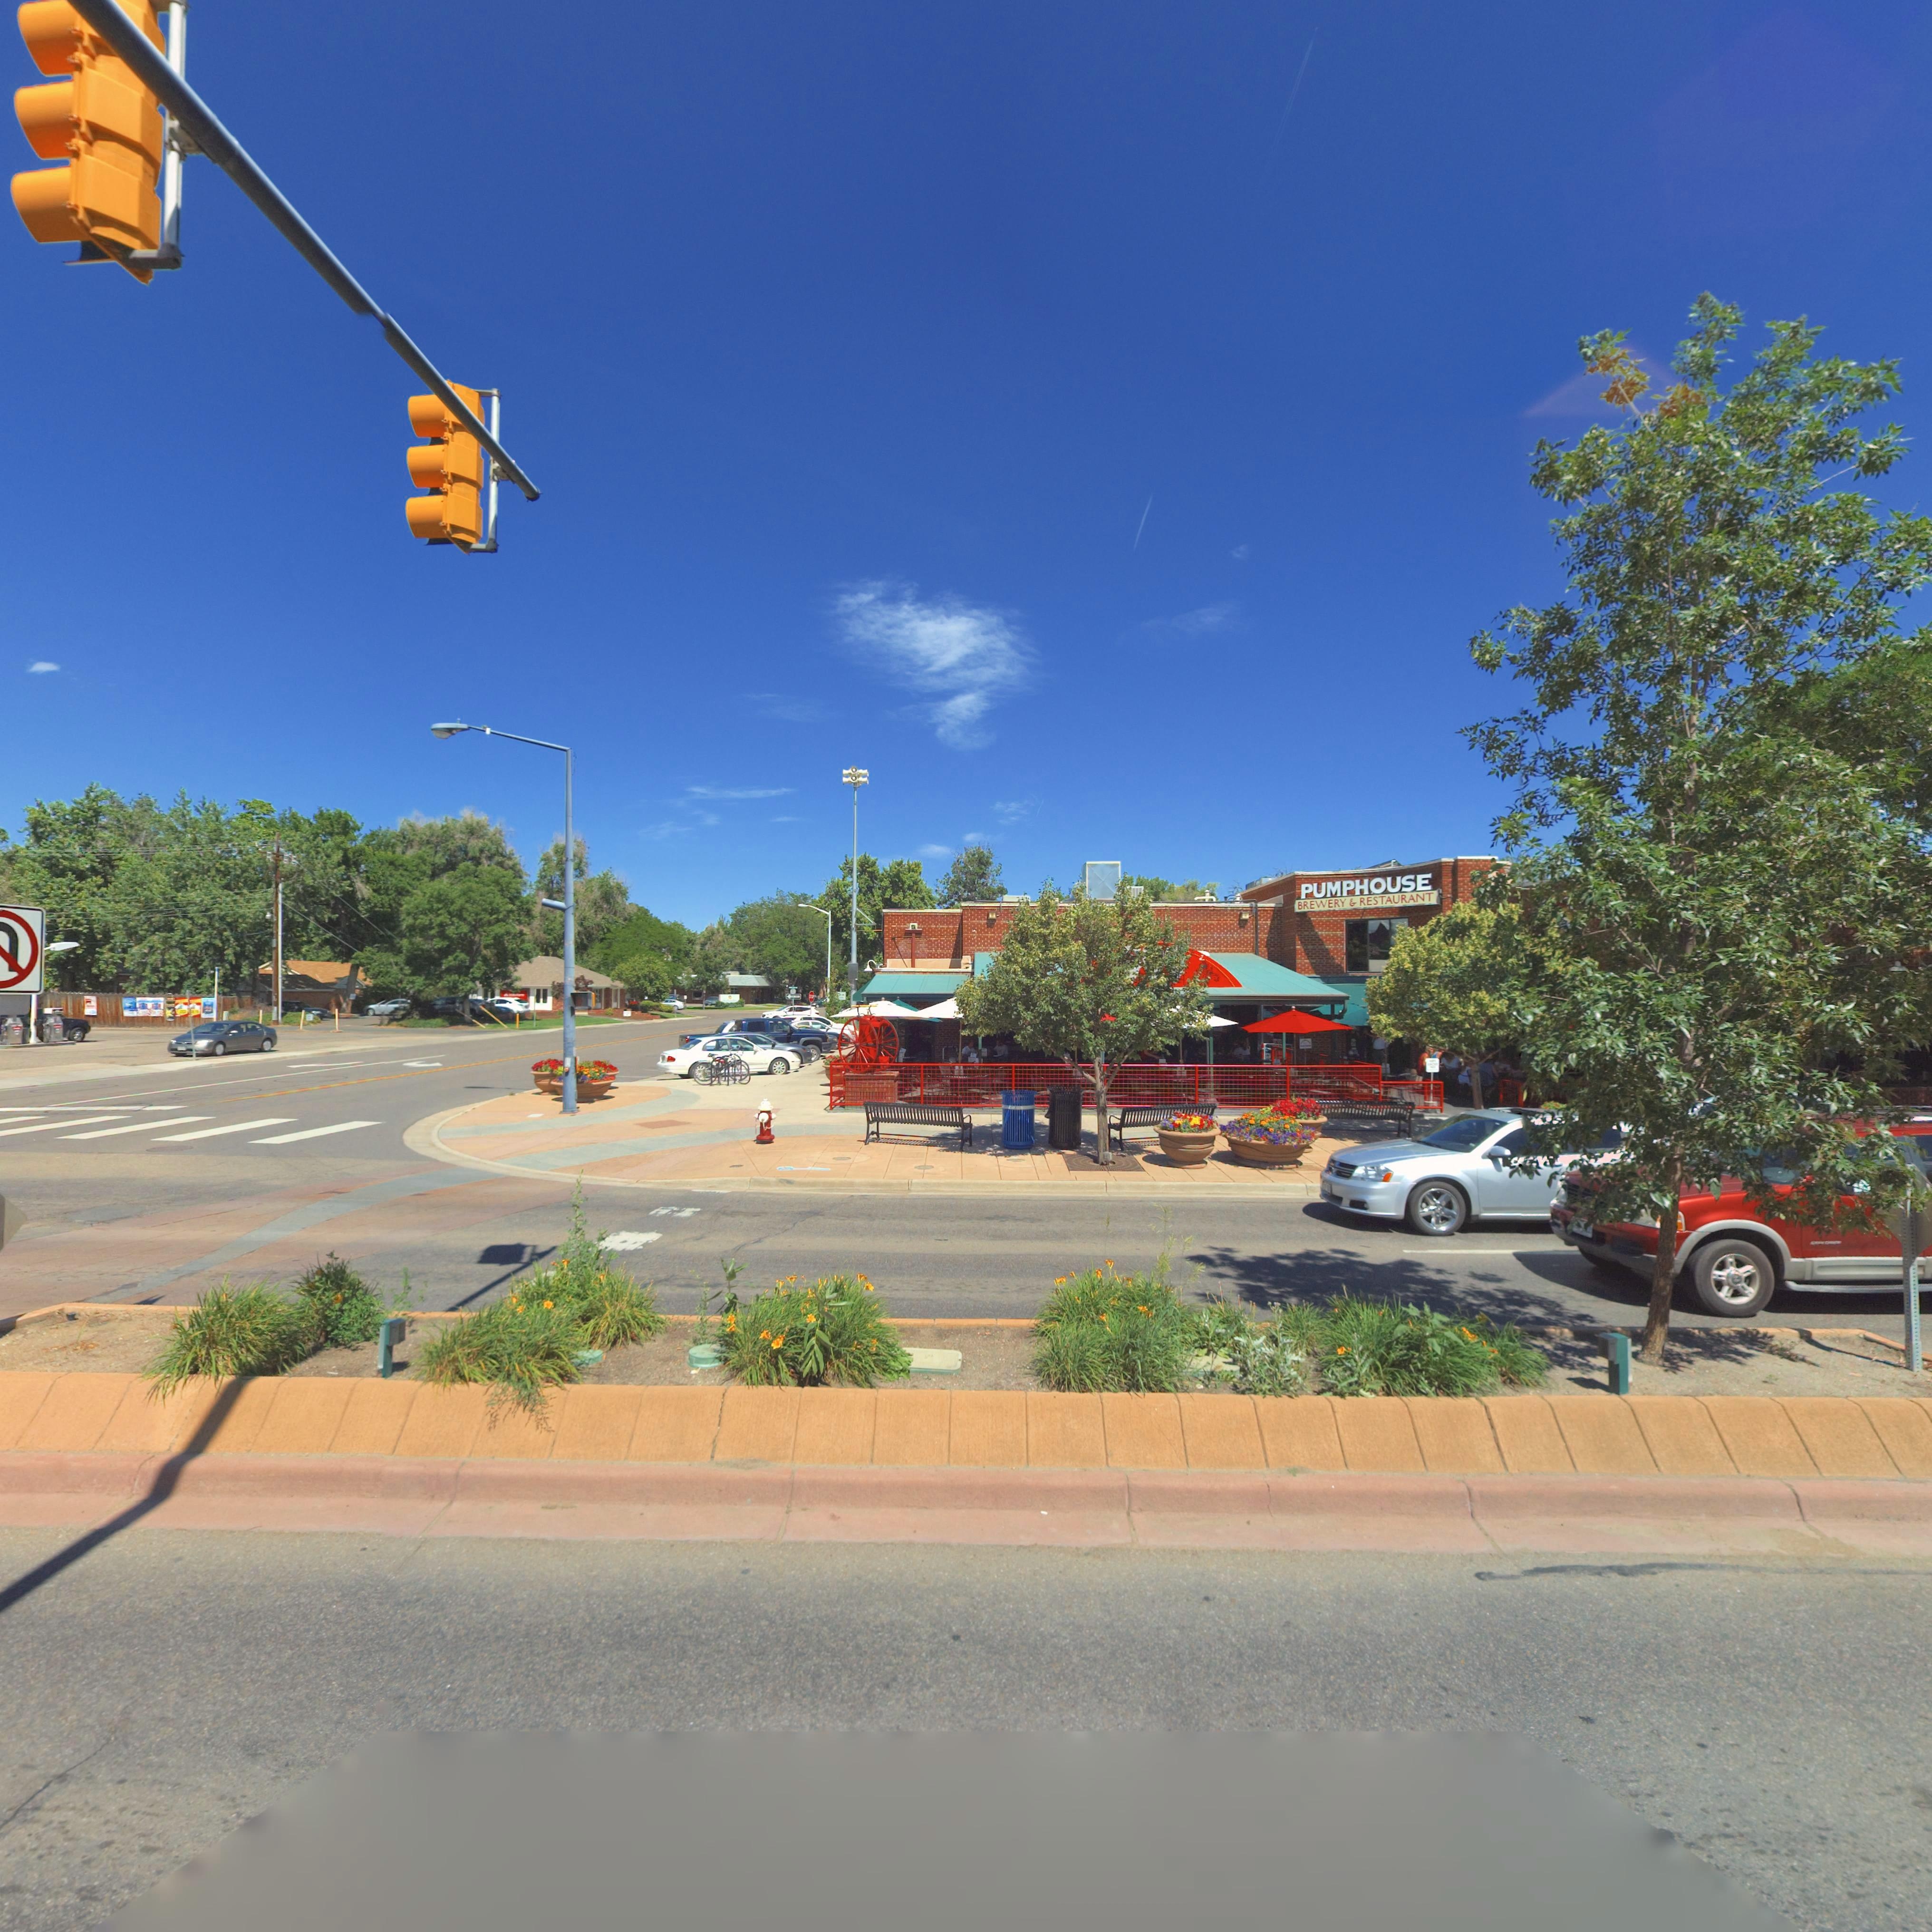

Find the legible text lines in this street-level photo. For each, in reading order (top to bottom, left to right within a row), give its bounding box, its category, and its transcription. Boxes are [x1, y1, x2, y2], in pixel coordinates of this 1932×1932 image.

[1301, 872, 1432, 899] BusinessName: PUMPHOUSE
[1297, 892, 1434, 910] BusinessName: BREWERY * RESTAURANT